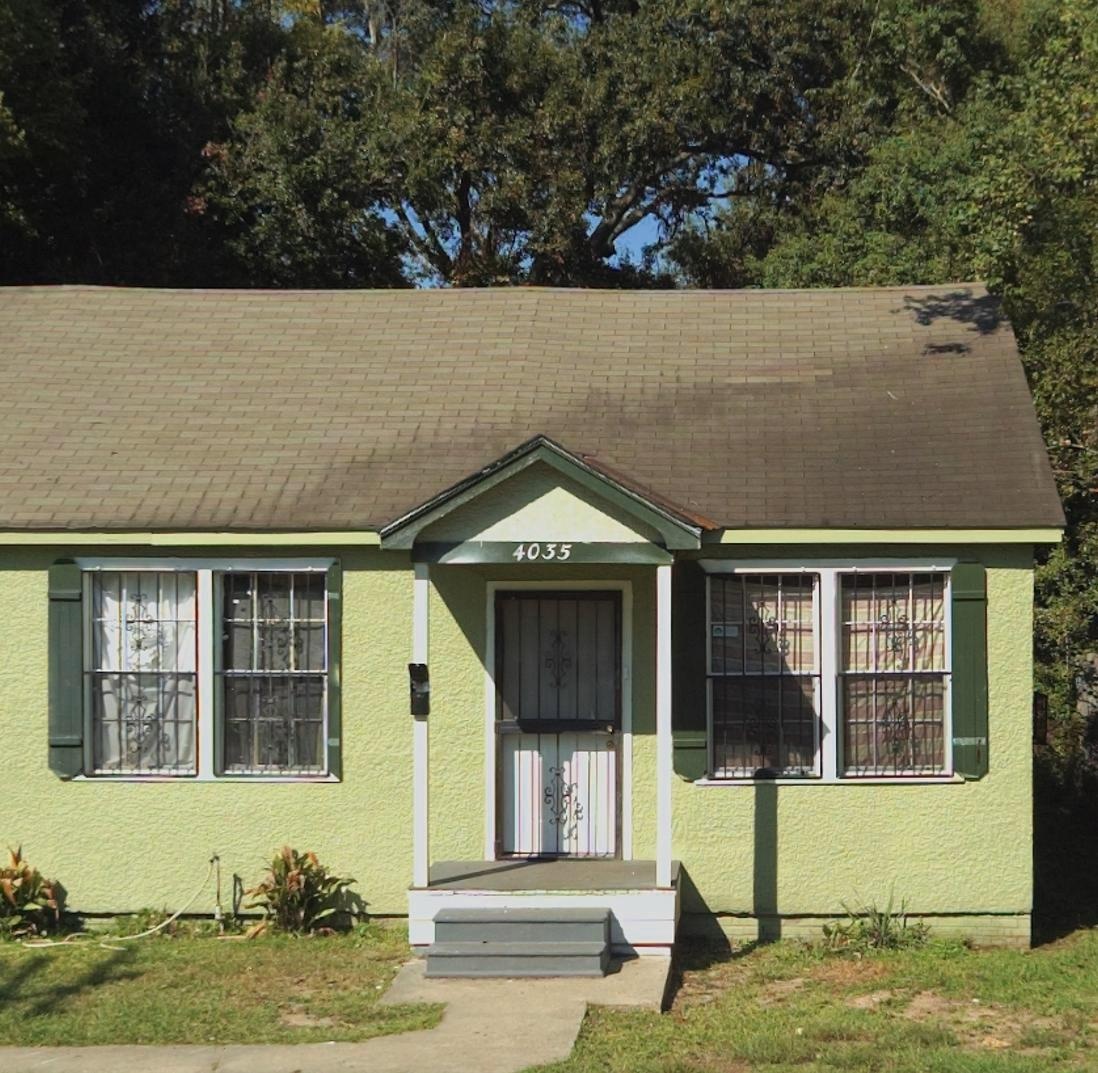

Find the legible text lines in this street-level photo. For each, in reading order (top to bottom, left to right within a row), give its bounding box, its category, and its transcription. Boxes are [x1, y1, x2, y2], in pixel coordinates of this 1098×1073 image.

[511, 542, 573, 562] StreetNumber: 4035